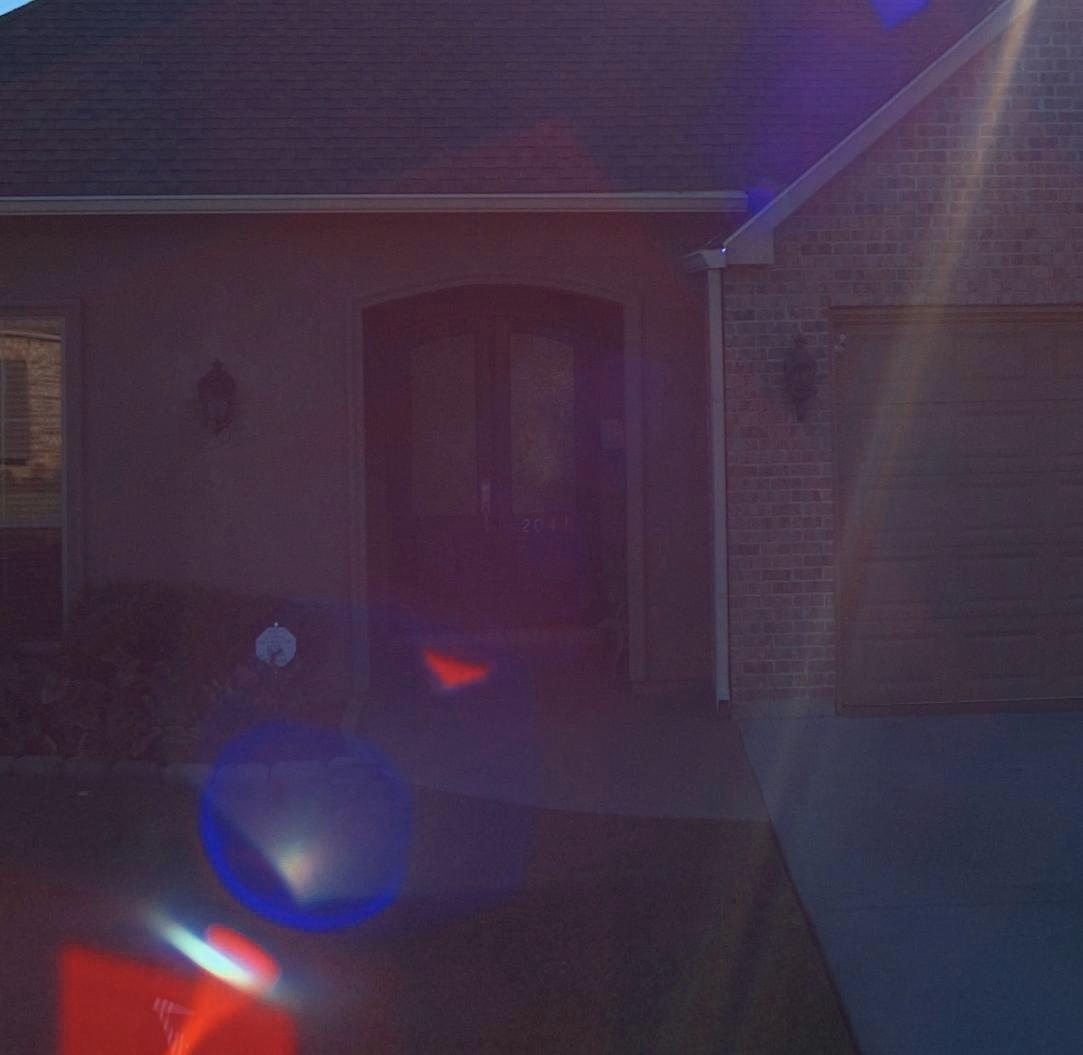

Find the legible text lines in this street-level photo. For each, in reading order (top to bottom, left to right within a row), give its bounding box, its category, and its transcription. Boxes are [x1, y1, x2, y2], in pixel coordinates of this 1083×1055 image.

[520, 514, 570, 535] StreetNumber: 2041